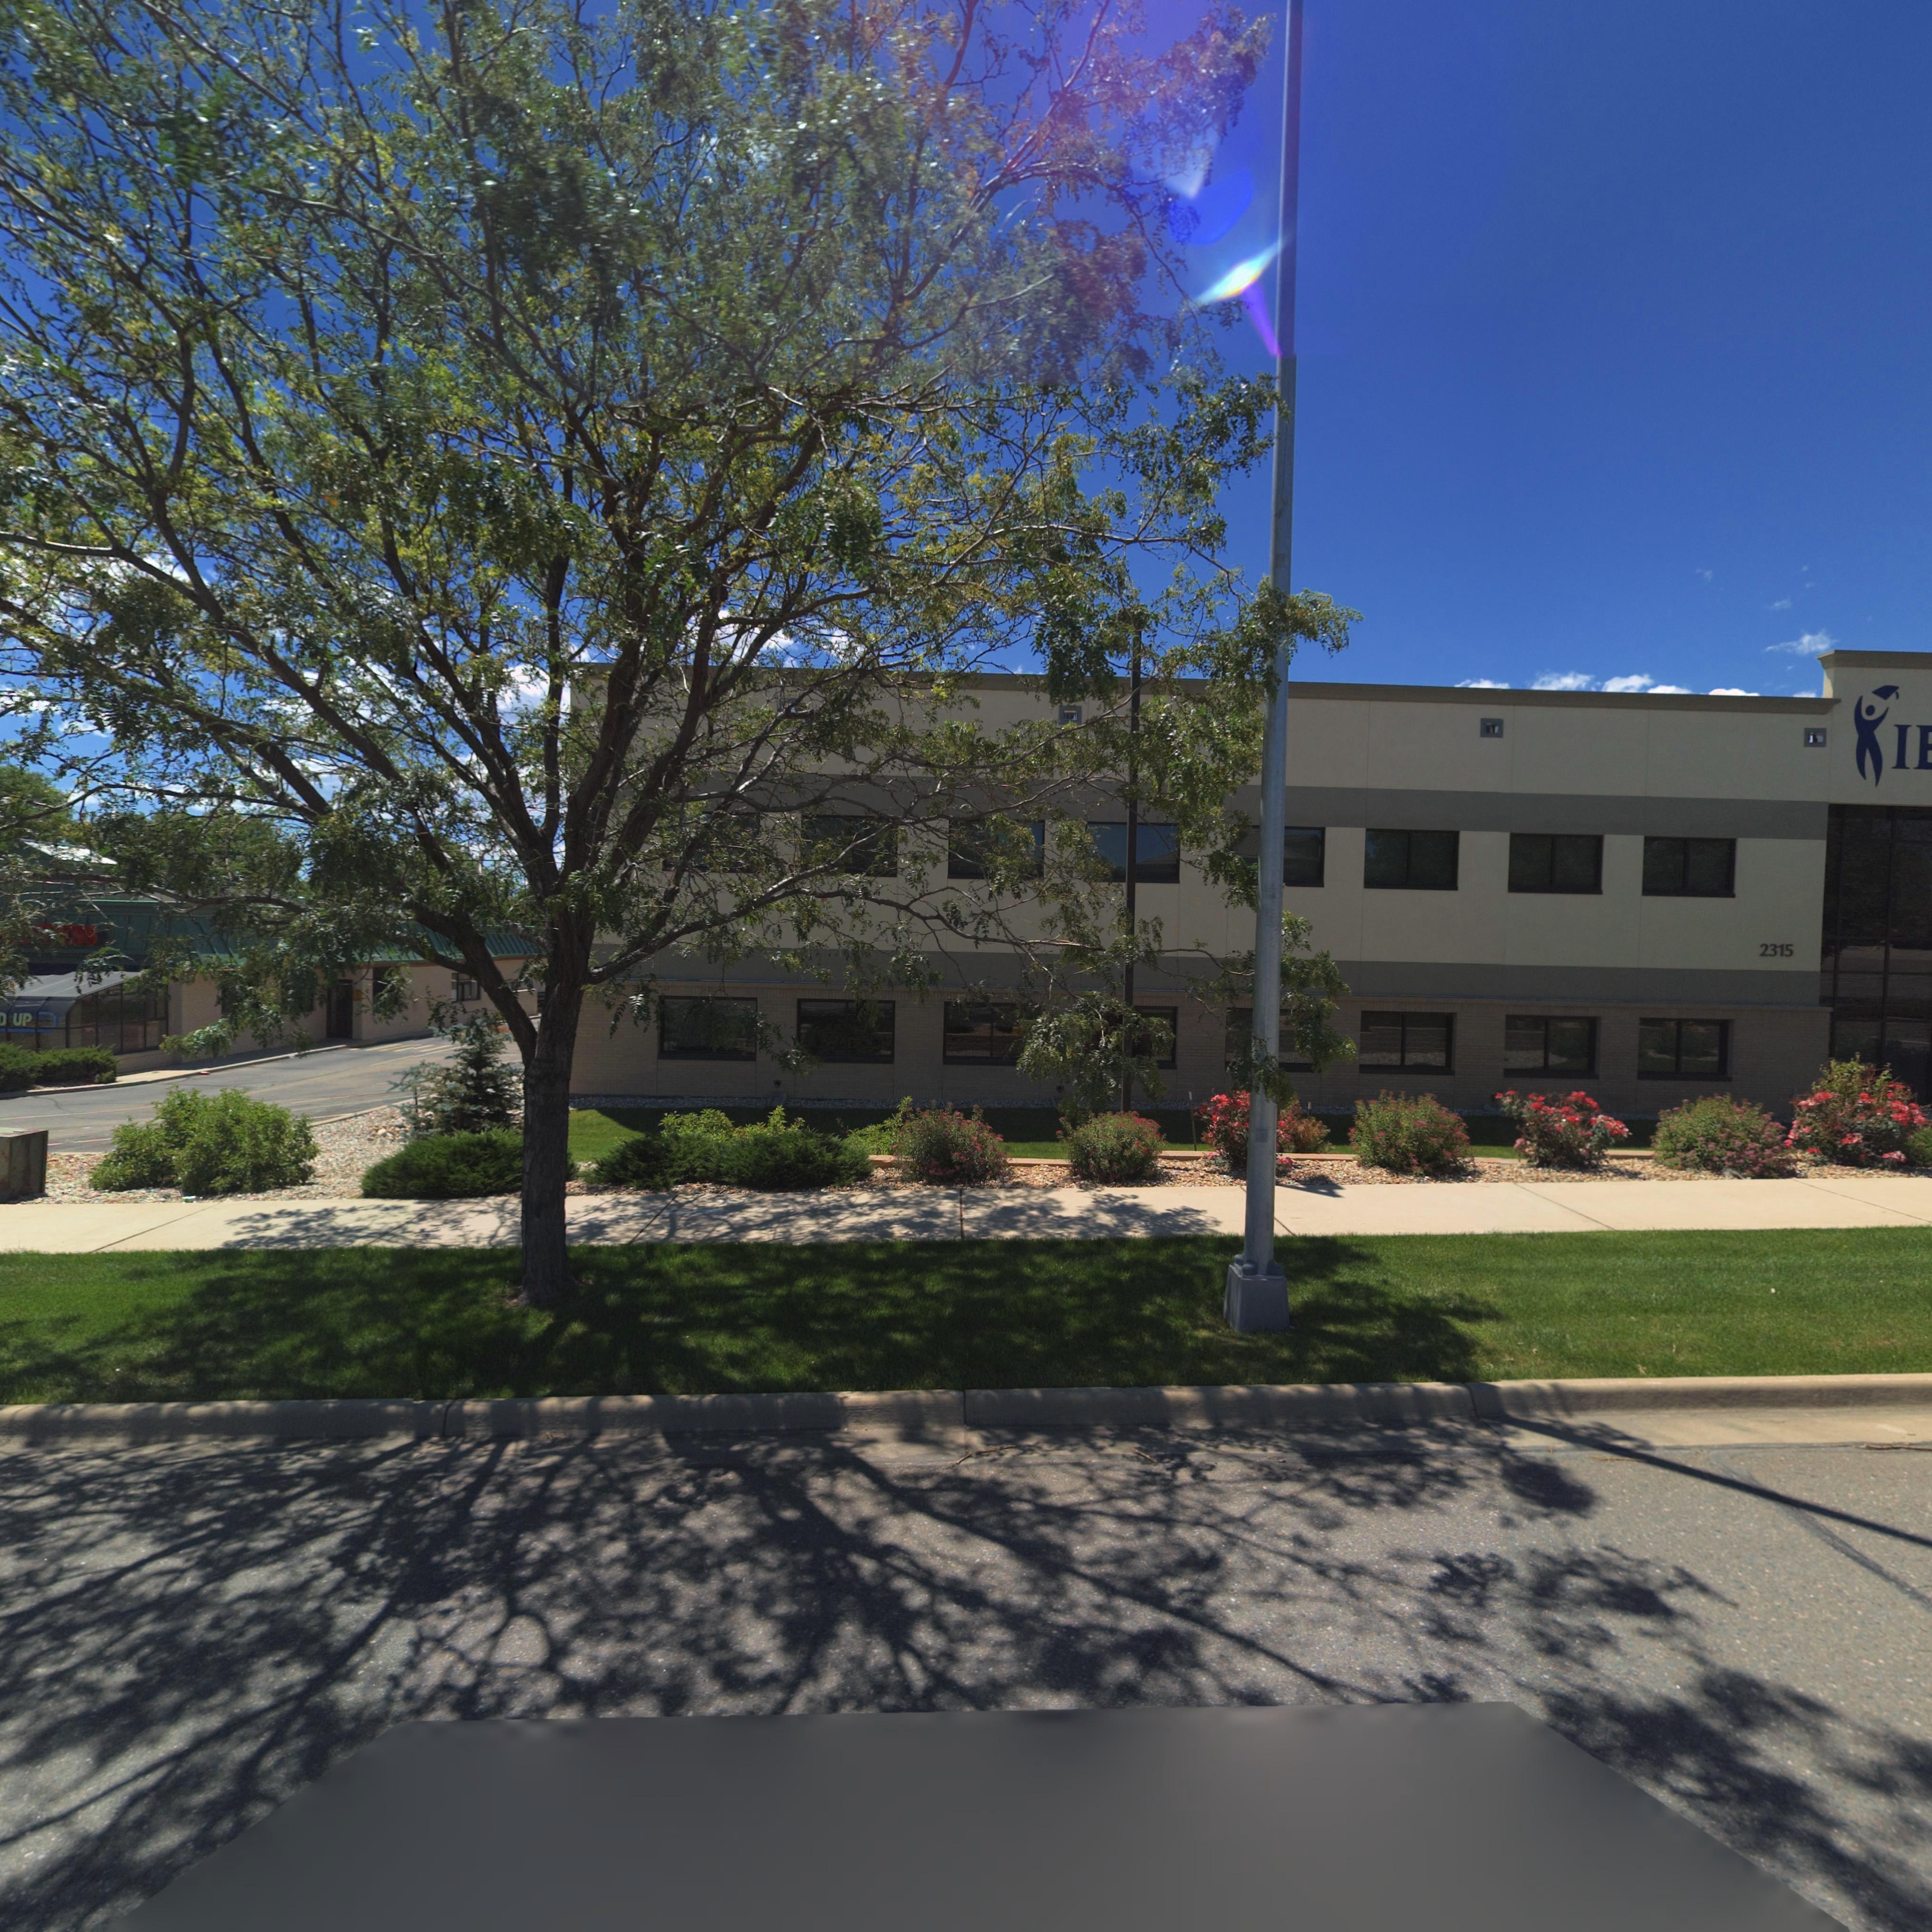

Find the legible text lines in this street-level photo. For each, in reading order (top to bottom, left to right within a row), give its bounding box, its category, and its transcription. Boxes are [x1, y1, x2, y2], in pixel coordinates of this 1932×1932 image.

[1891, 724, 1912, 770] BusinessName: I
[41, 923, 99, 947] BusinessName: **S*
[1759, 943, 1793, 957] StreetNumber: 2315